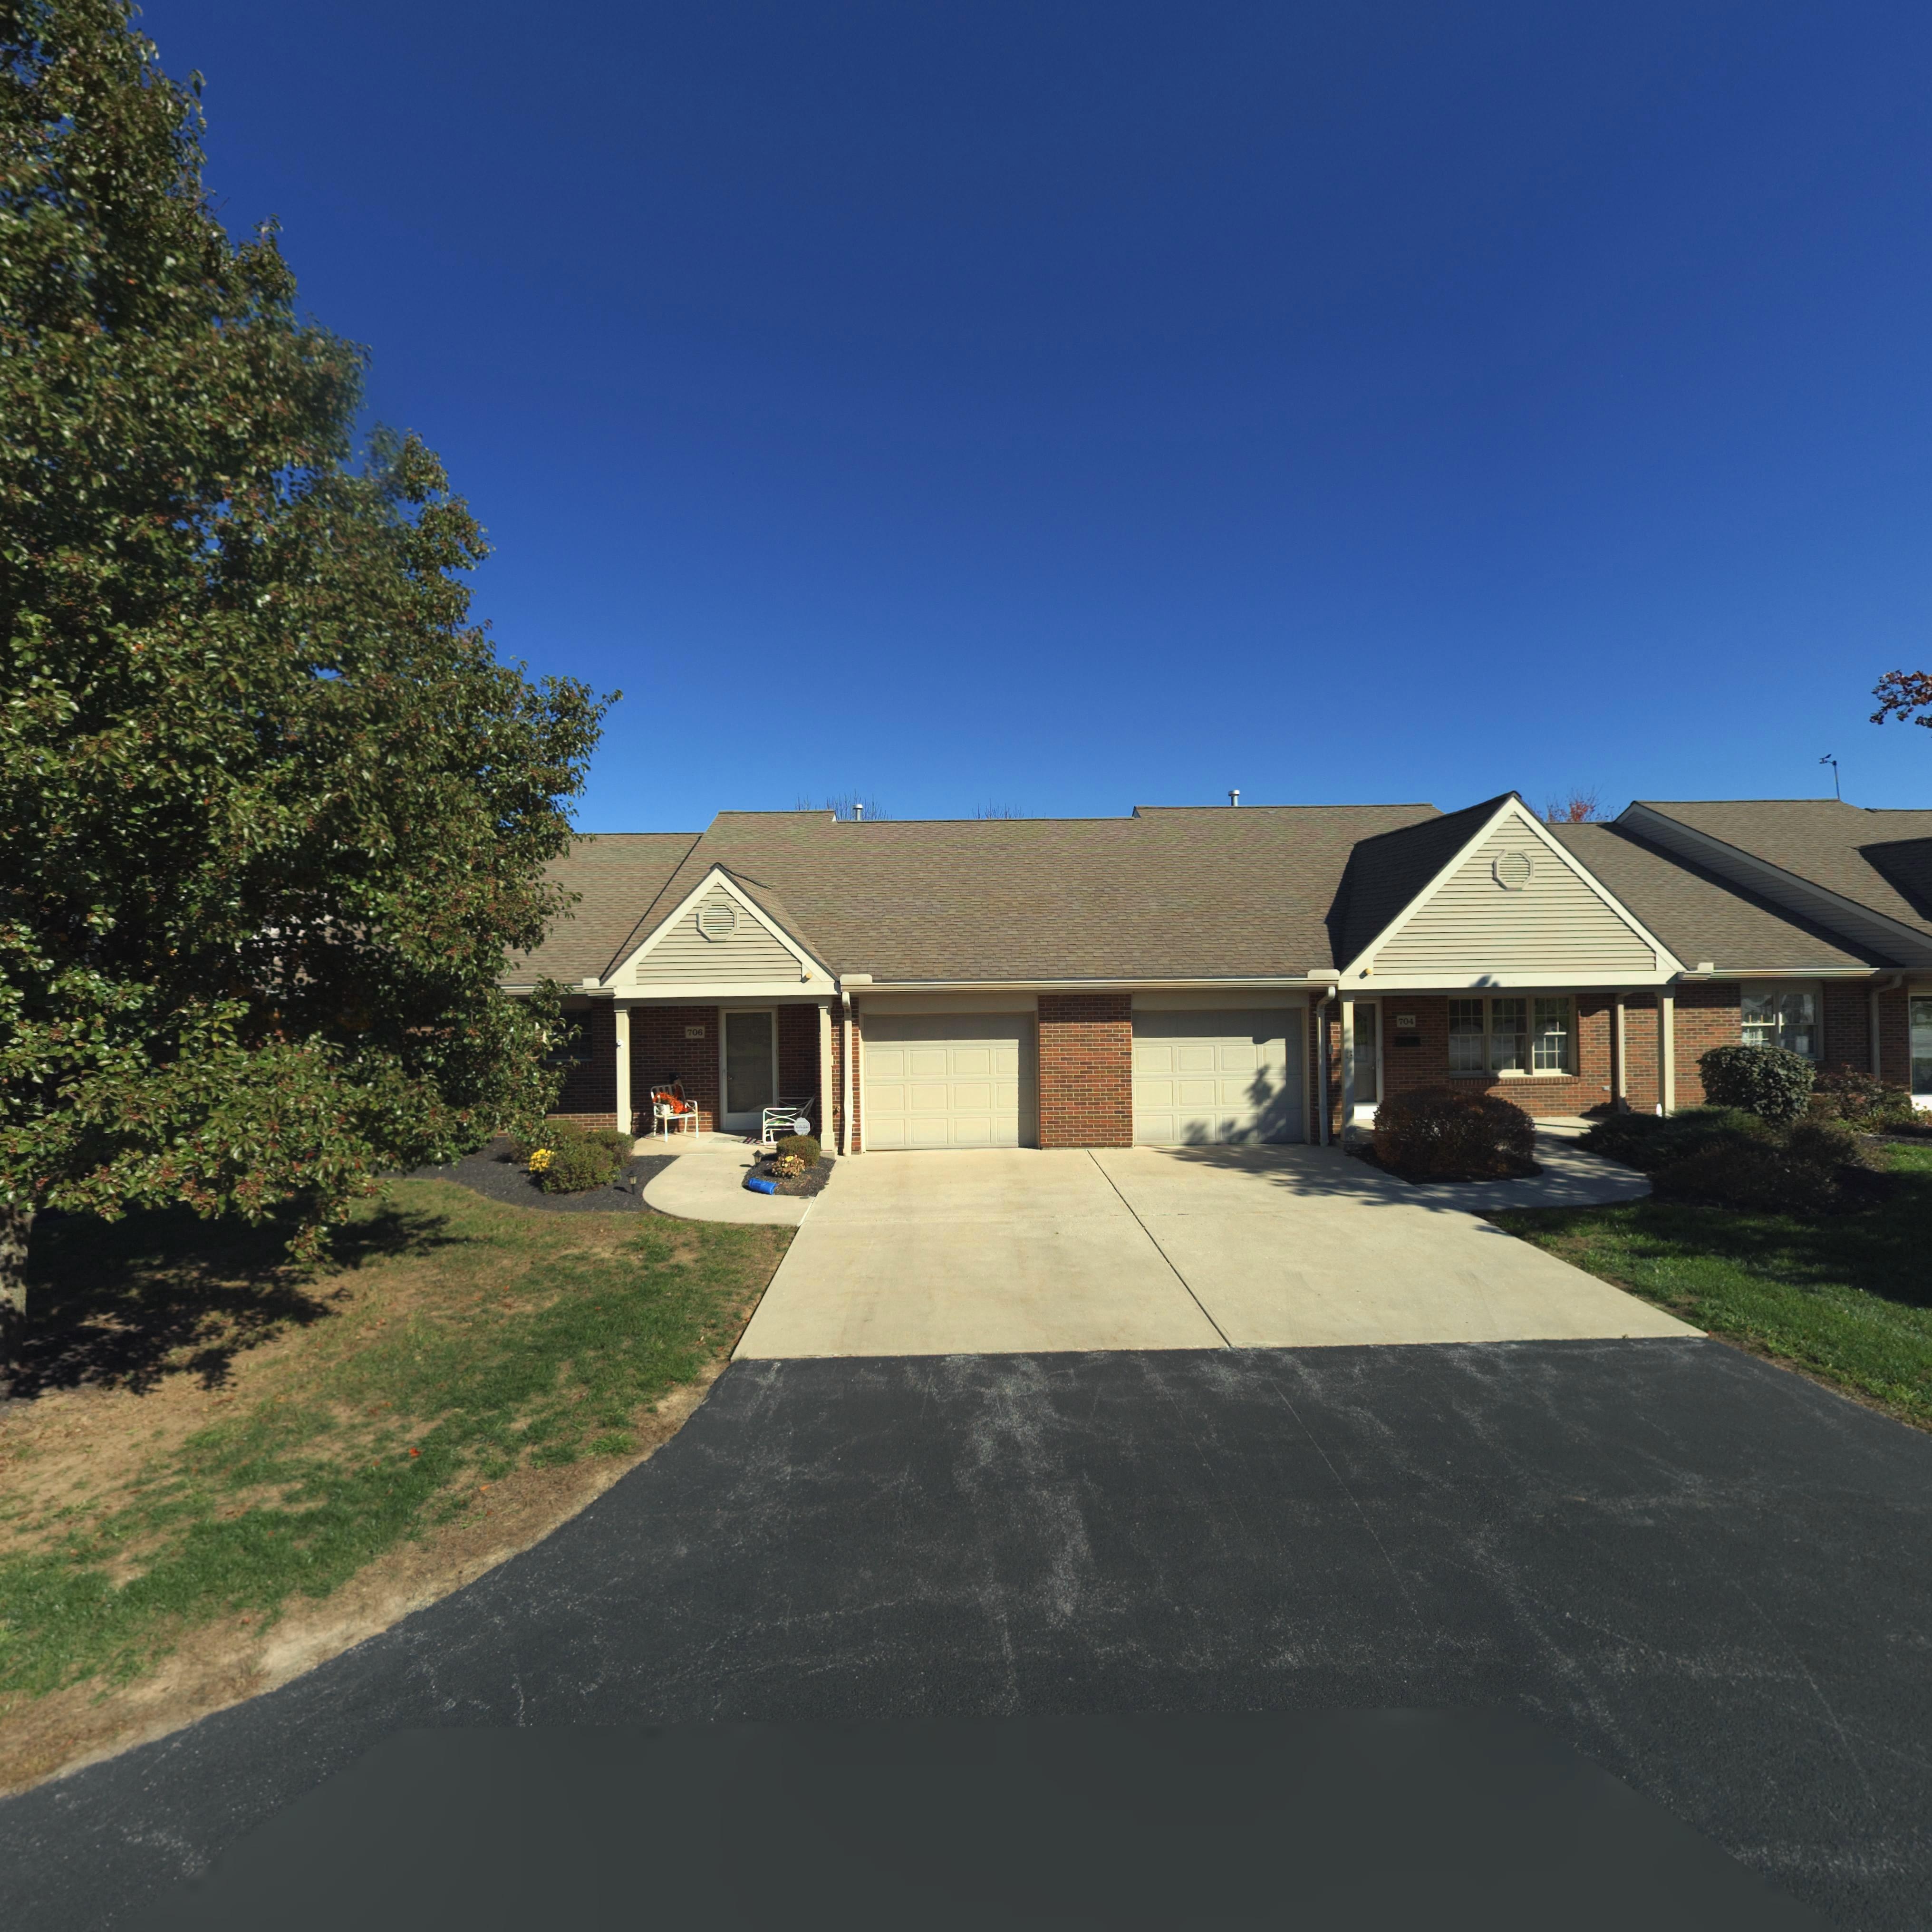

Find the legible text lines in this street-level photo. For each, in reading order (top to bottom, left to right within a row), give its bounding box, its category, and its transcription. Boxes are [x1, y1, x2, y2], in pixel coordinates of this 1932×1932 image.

[1398, 1018, 1414, 1025] StreetNumber: 704
[687, 1028, 703, 1036] StreetNumber: 706